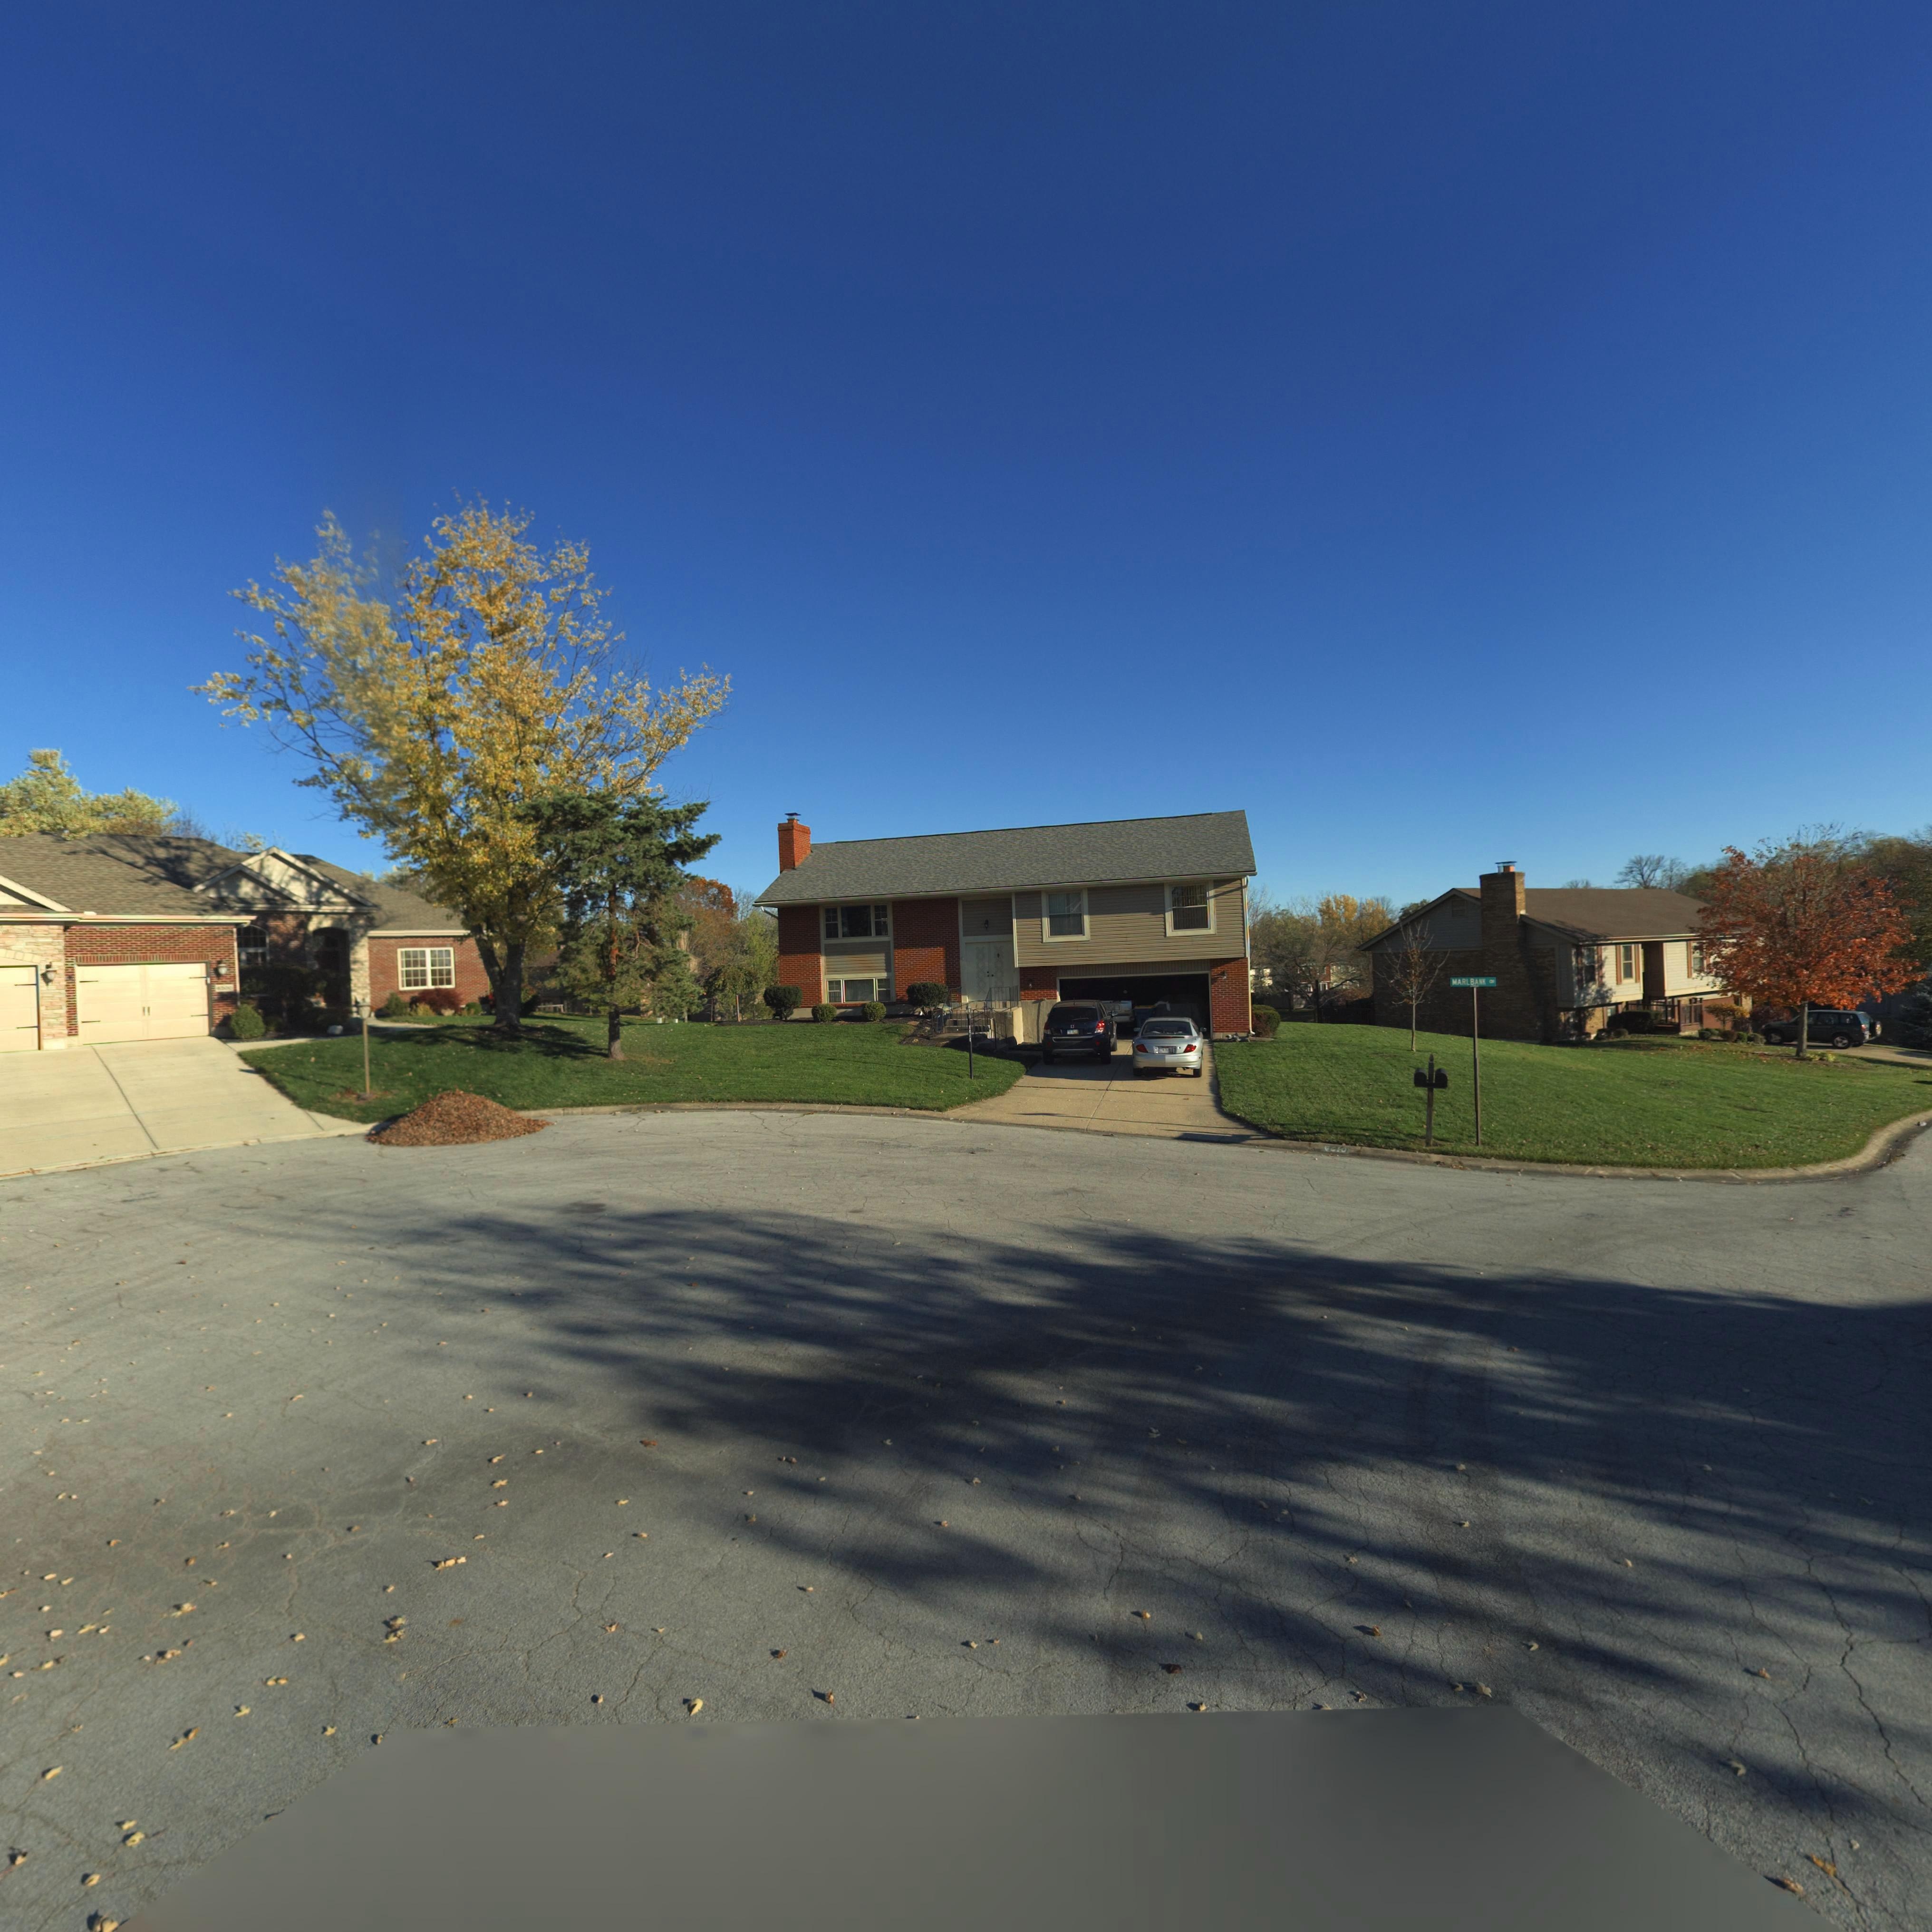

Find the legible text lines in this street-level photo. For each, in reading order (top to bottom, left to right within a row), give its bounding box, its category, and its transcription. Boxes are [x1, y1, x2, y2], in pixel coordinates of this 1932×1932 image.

[1451, 977, 1487, 986] StreetName: MARLBANK
[1323, 1144, 1348, 1154] StreetNumber: **10